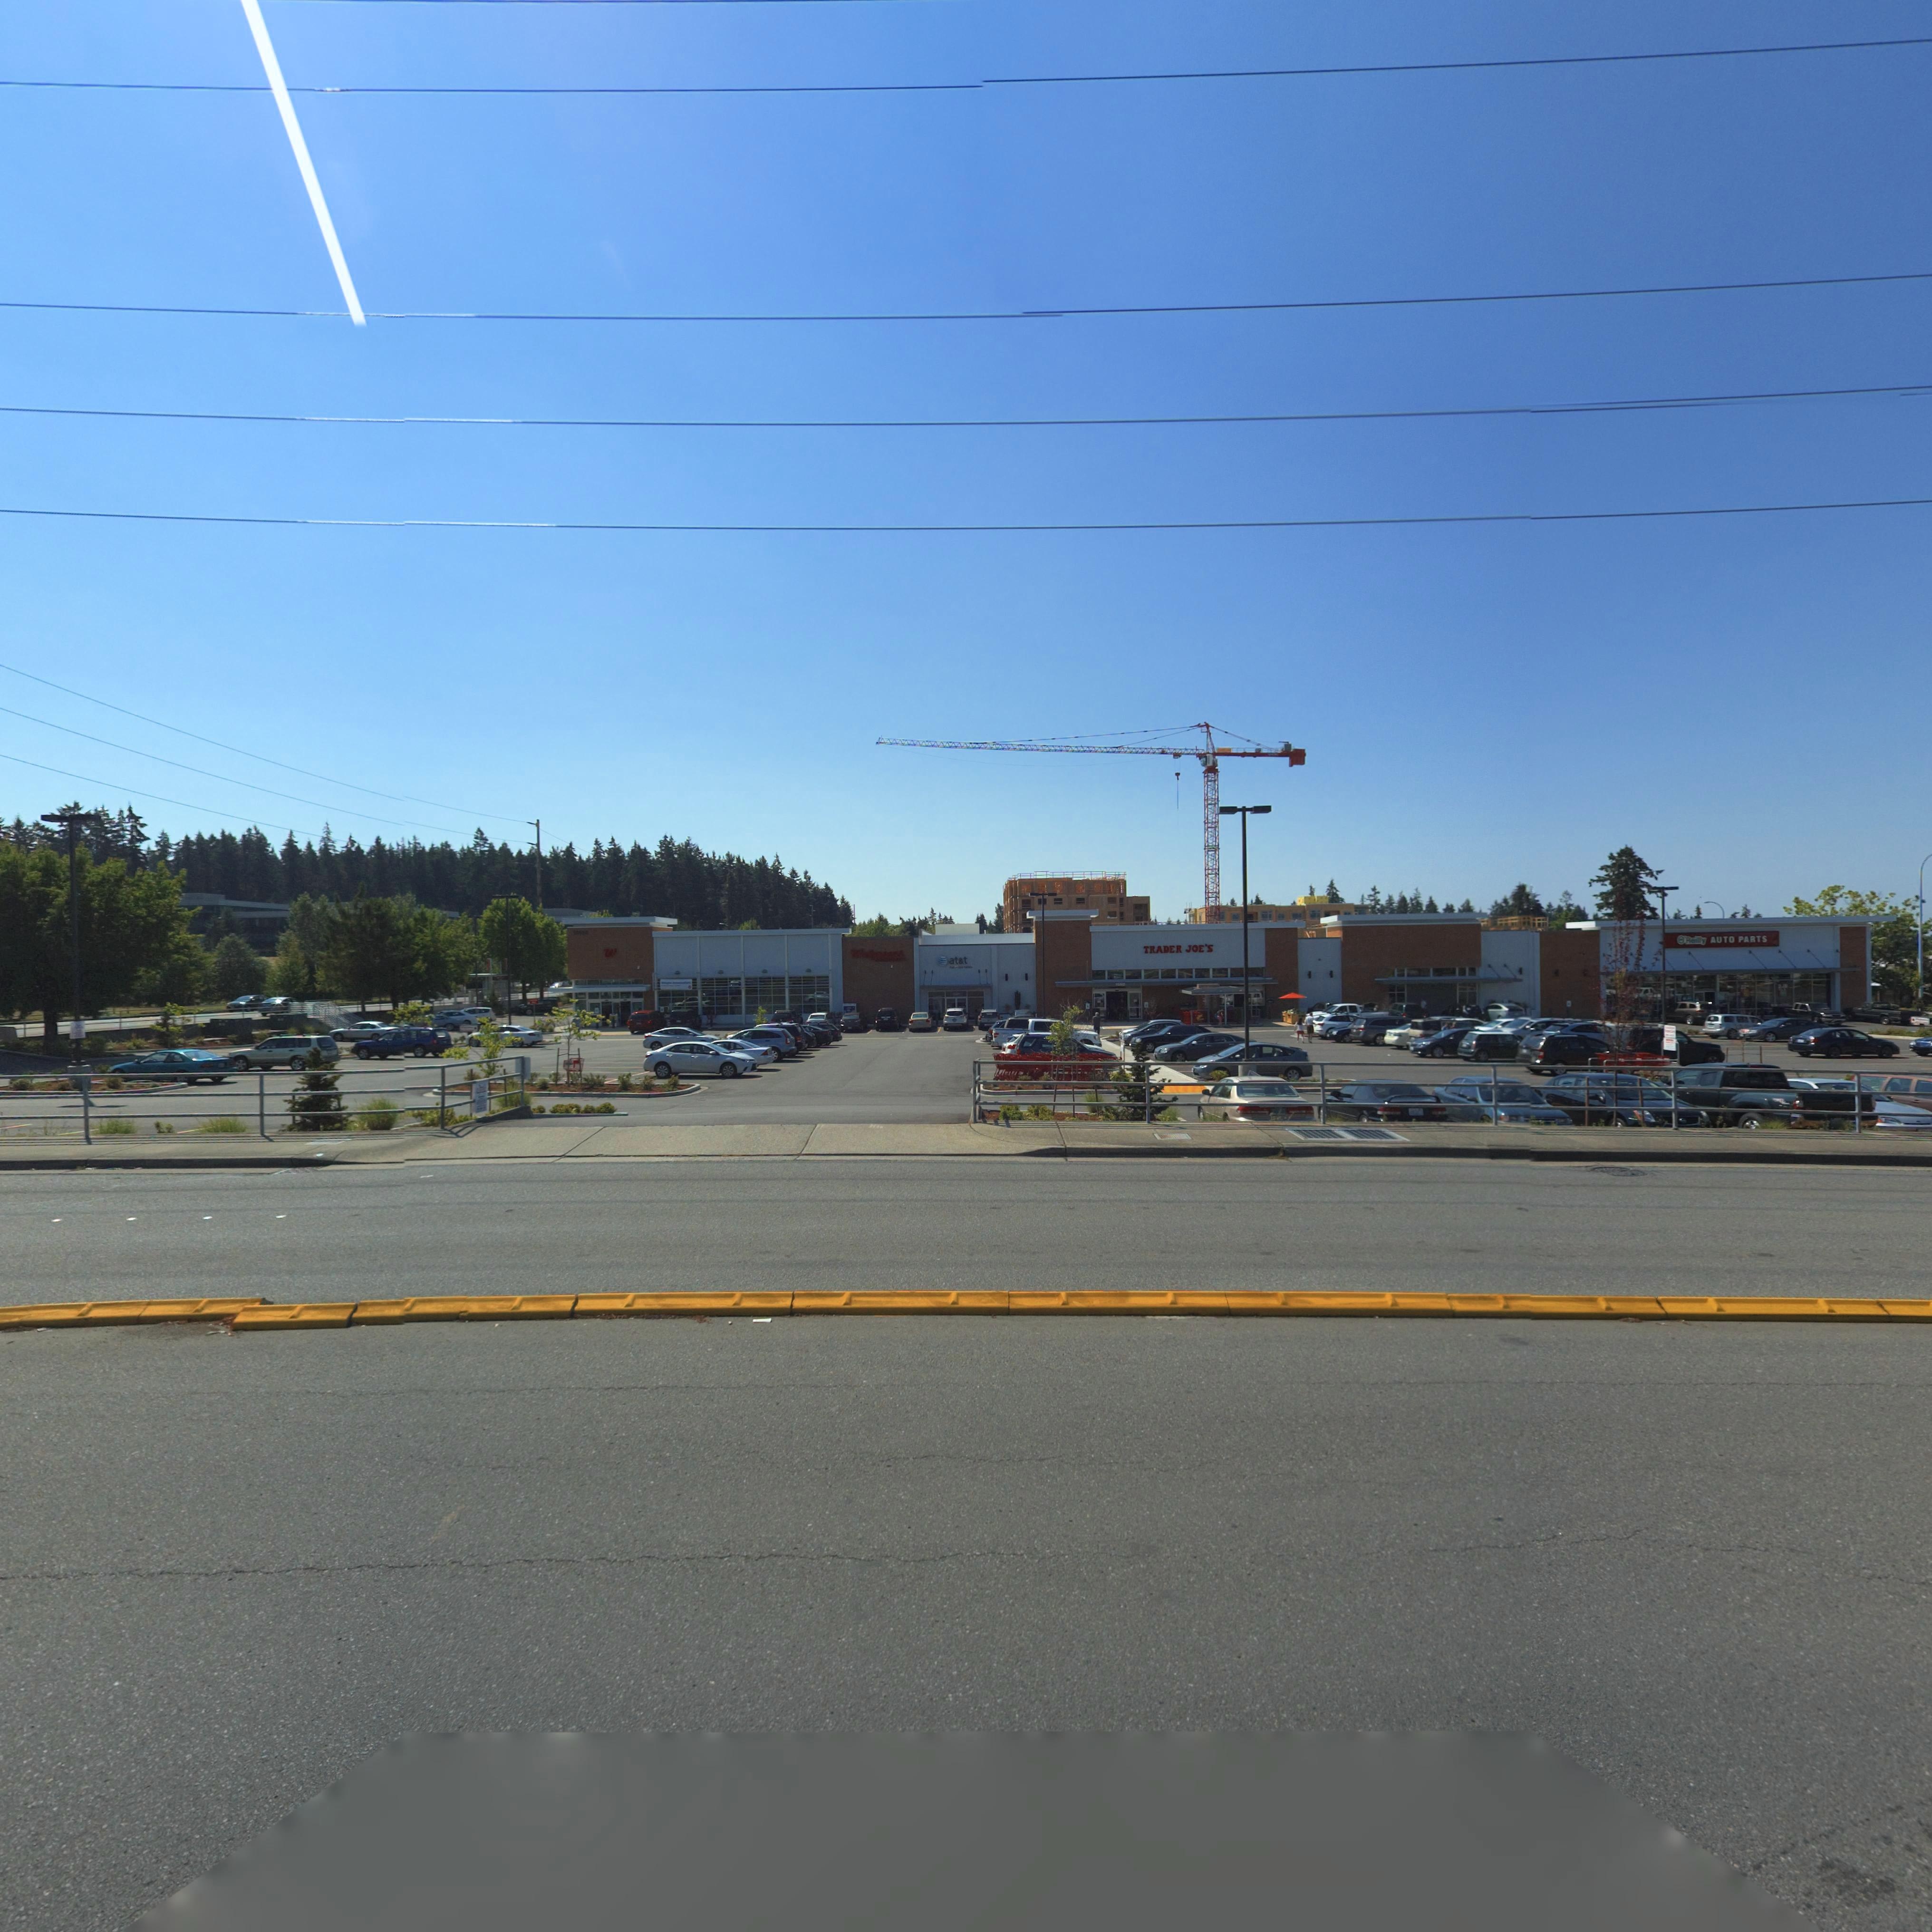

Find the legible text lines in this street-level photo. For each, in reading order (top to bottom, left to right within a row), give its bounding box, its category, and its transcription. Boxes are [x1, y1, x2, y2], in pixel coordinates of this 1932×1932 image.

[1677, 935, 1707, 945] BusinessName: *Re***y
[1710, 936, 1766, 943] BusinessName: AUTO PARTS
[1143, 944, 1213, 953] BusinessName: TRADER JOE*S
[949, 956, 968, 964] BusinessName: at*t